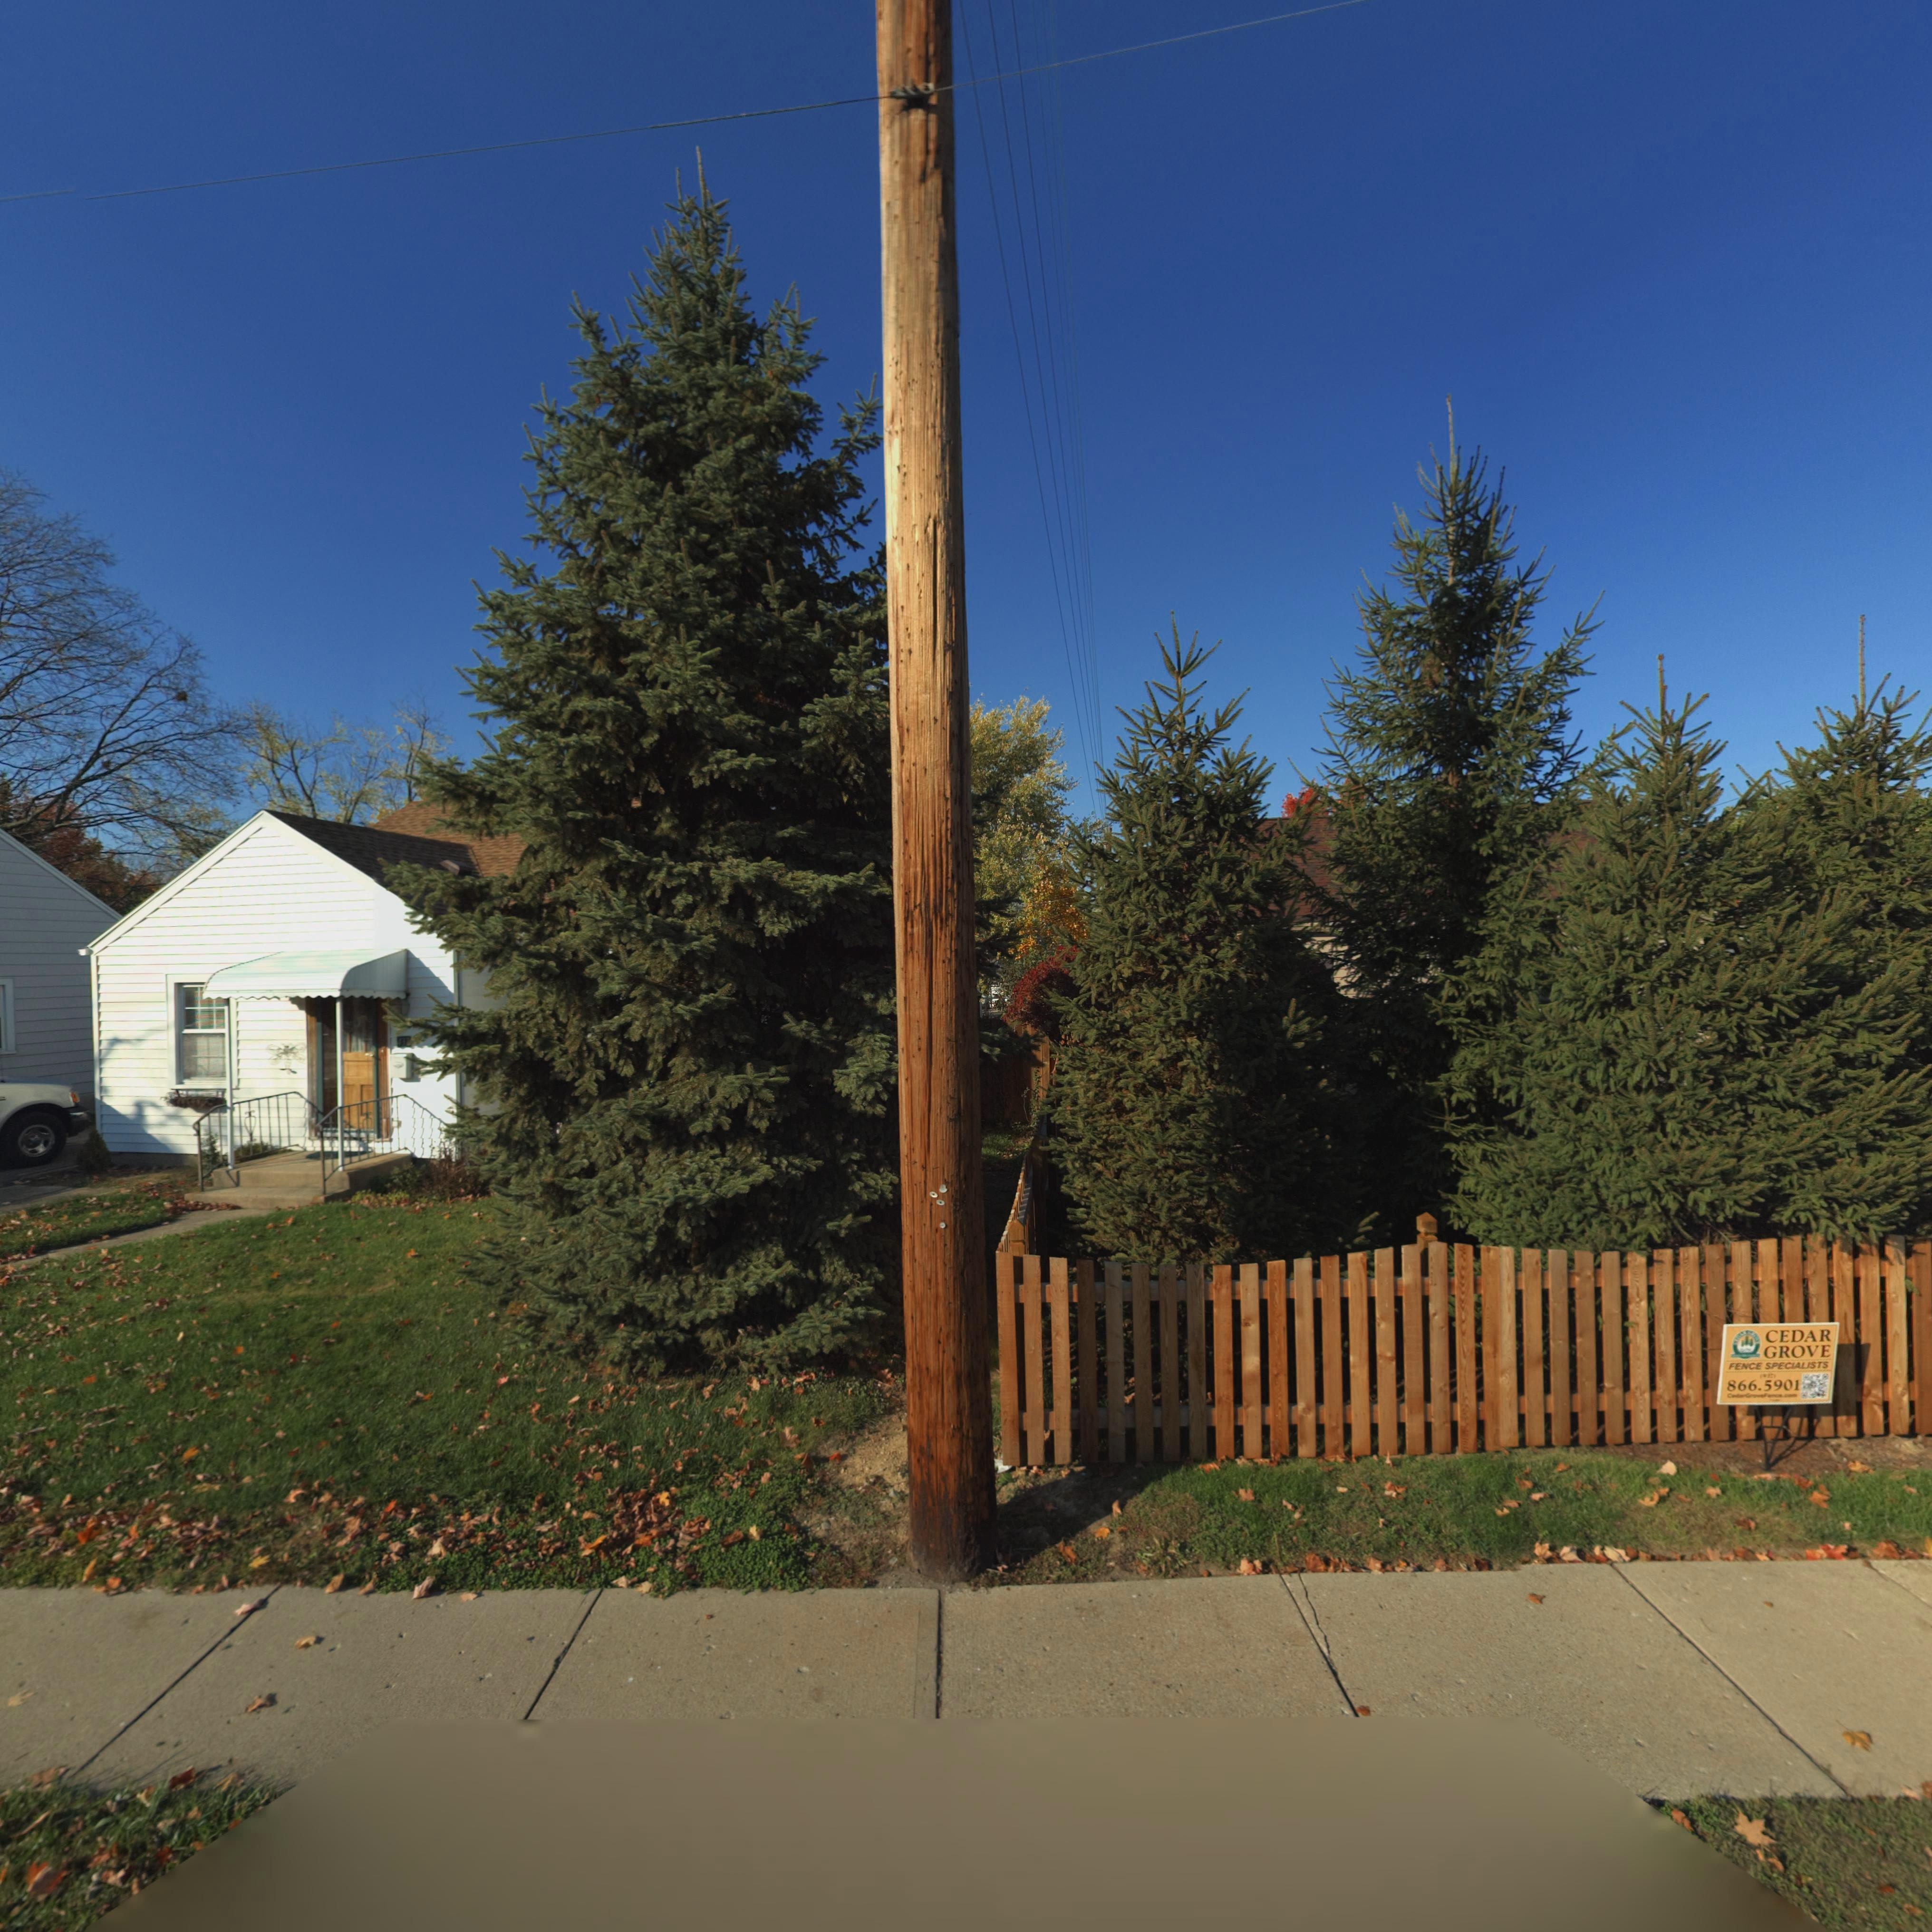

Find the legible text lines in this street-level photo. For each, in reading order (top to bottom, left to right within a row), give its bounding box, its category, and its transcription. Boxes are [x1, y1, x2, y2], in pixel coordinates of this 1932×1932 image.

[397, 1037, 411, 1046] StreetNumber: 437